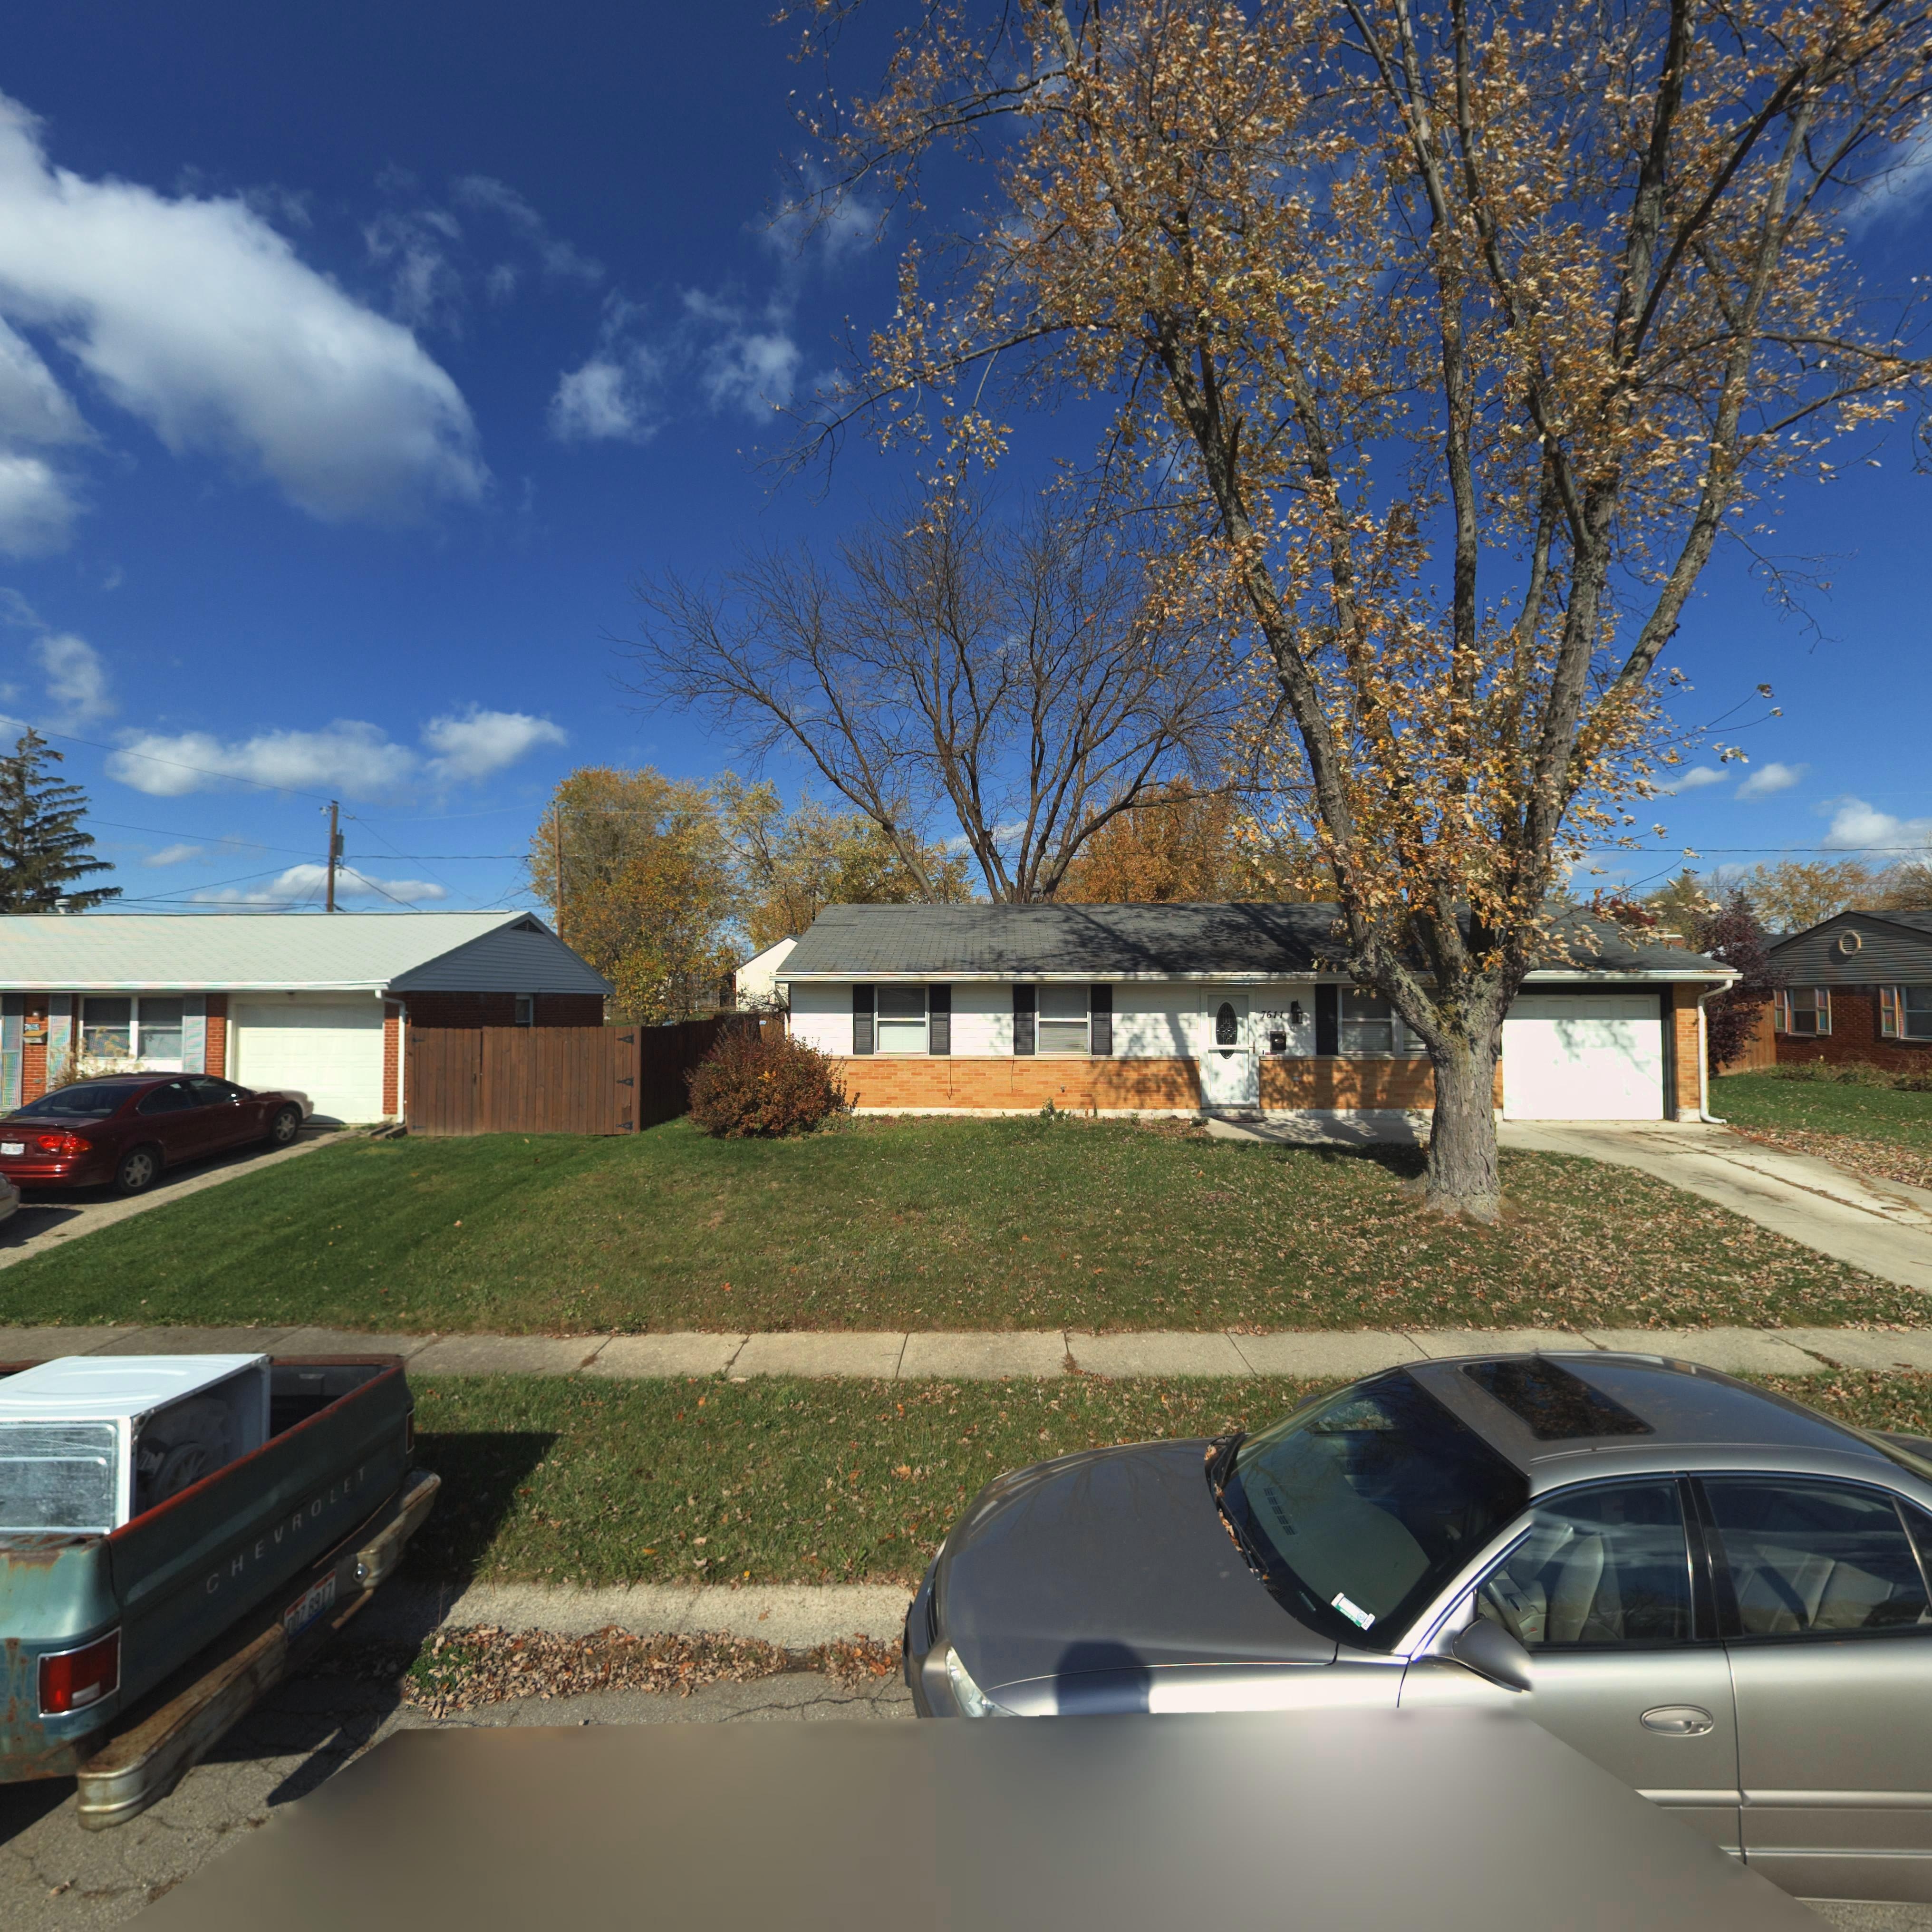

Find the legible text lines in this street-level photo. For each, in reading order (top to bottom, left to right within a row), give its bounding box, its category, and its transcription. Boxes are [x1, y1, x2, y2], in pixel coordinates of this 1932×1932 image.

[1260, 1009, 1284, 1019] StreetNumber: 7611